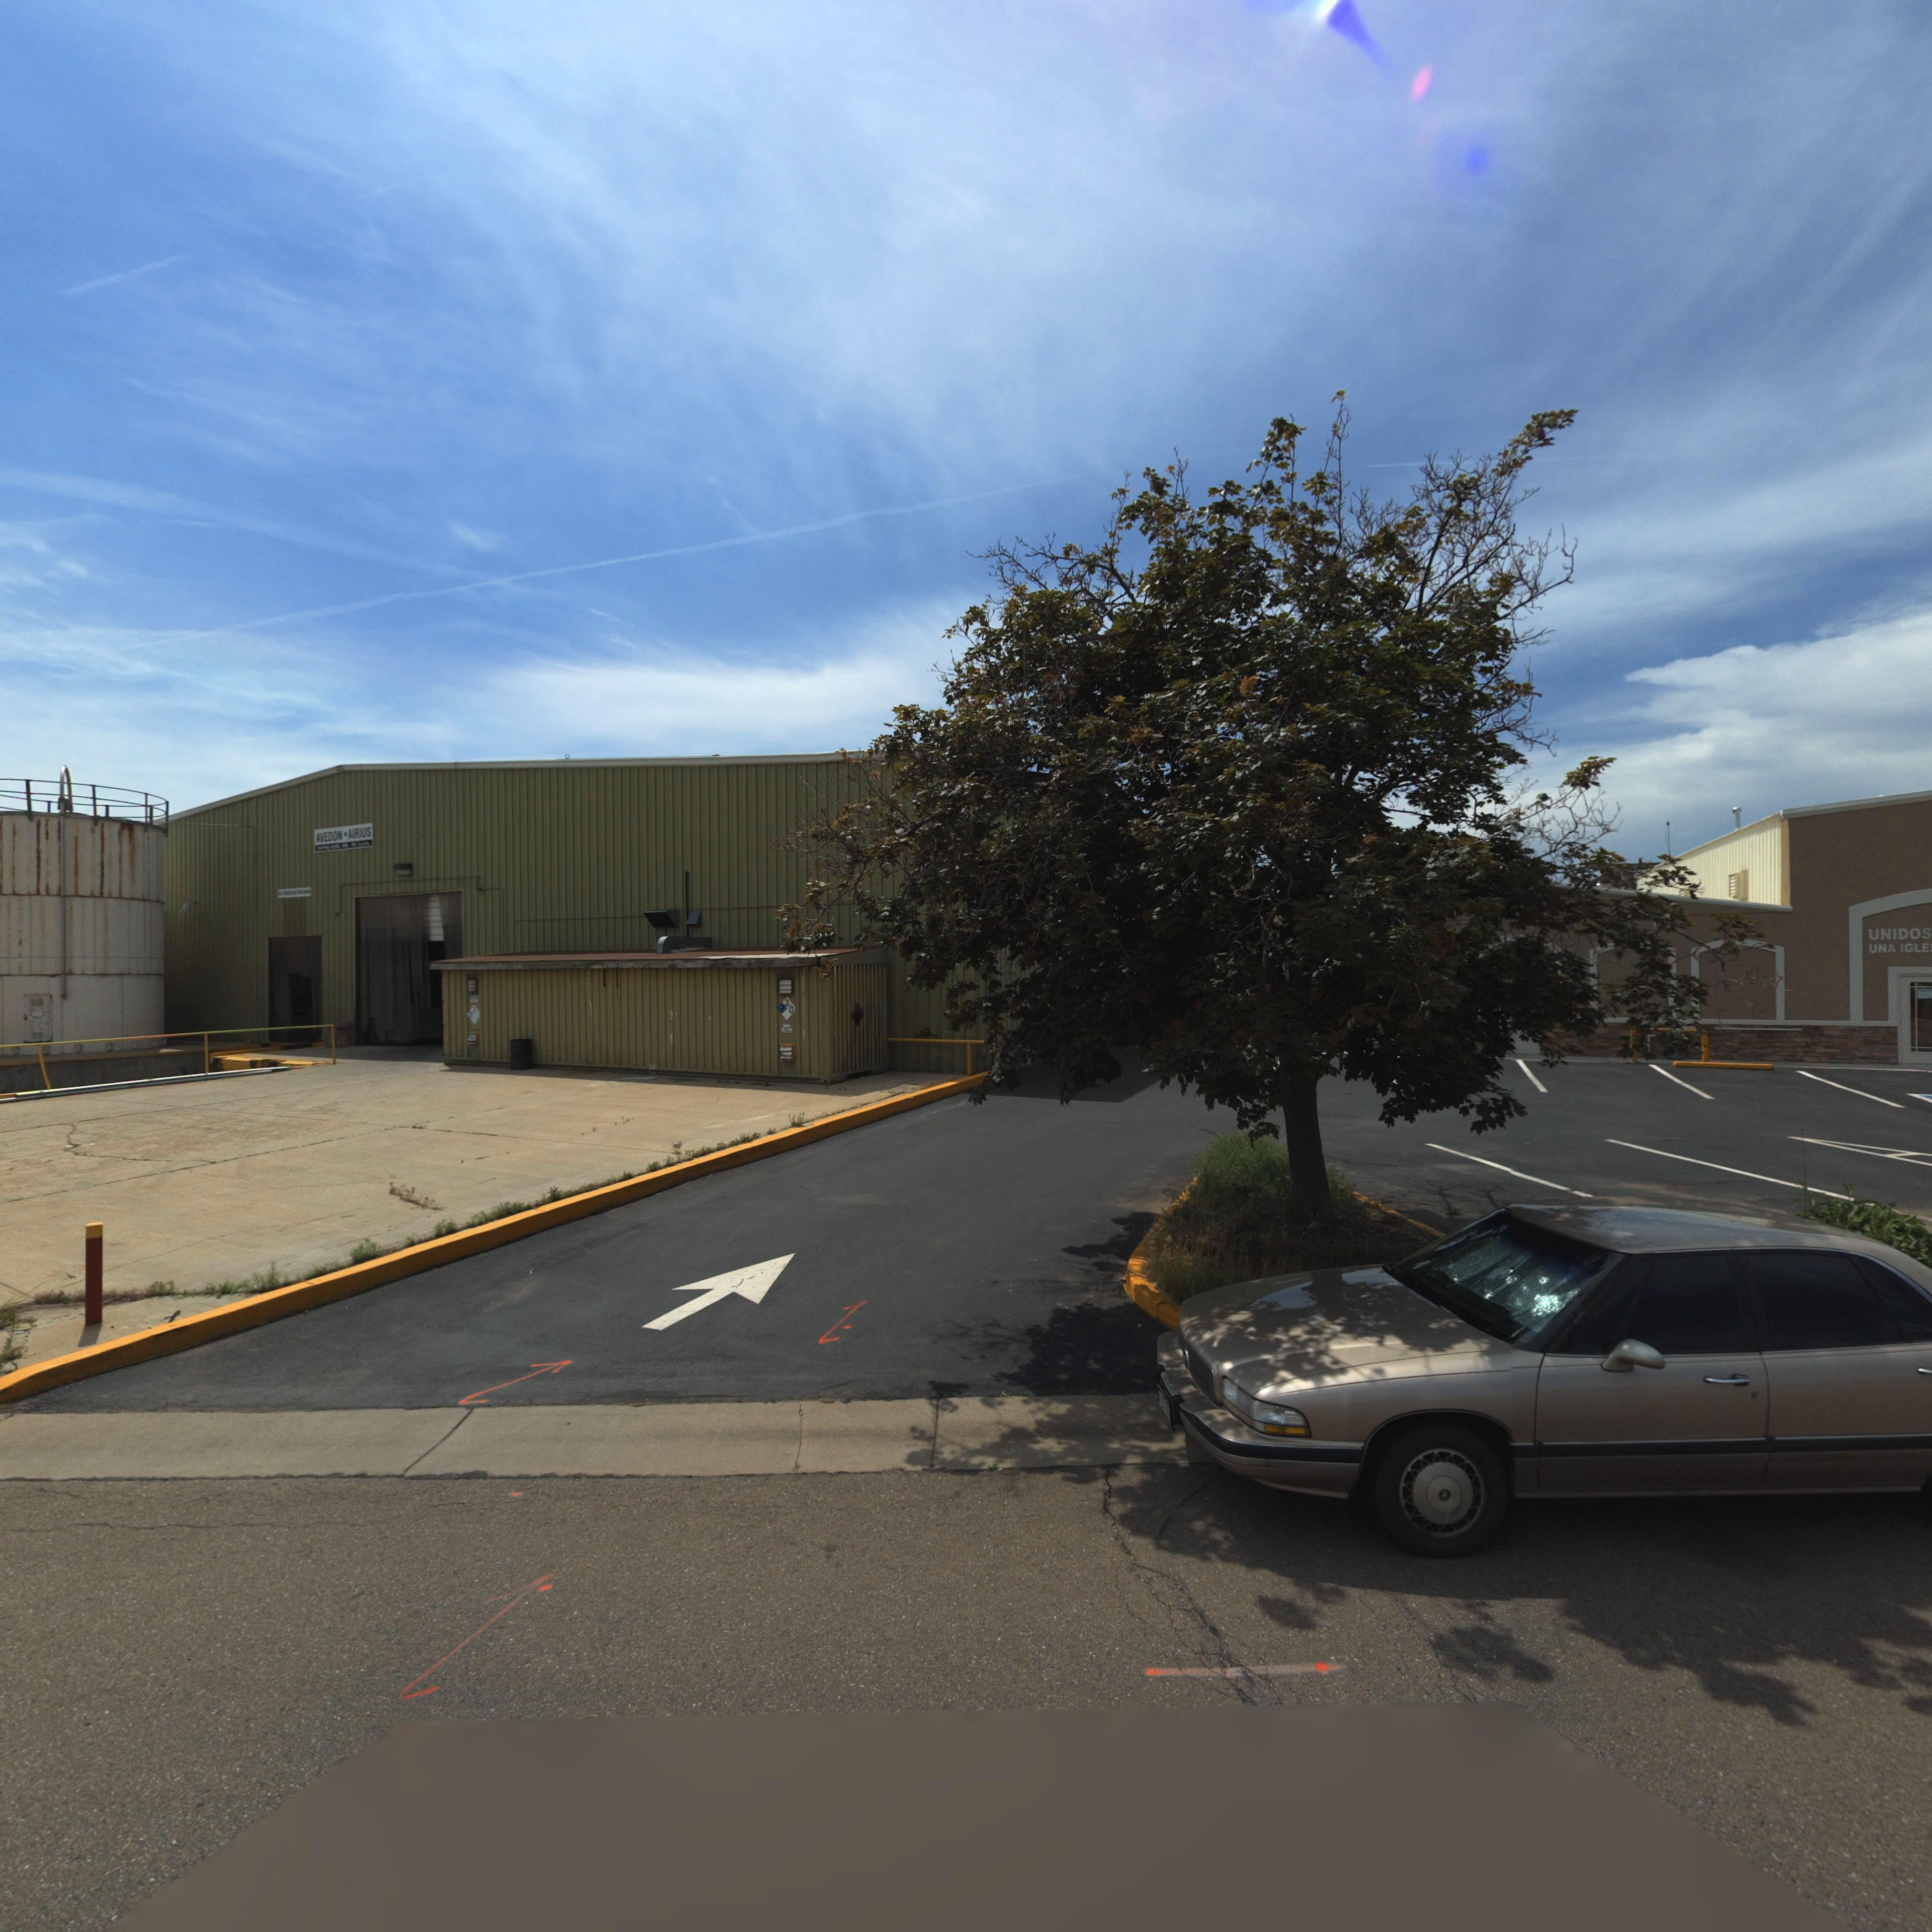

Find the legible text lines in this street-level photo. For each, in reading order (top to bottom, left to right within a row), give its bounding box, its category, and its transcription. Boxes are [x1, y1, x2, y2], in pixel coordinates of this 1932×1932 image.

[315, 826, 371, 842] BusinessName: AVEDON*AIRIUS